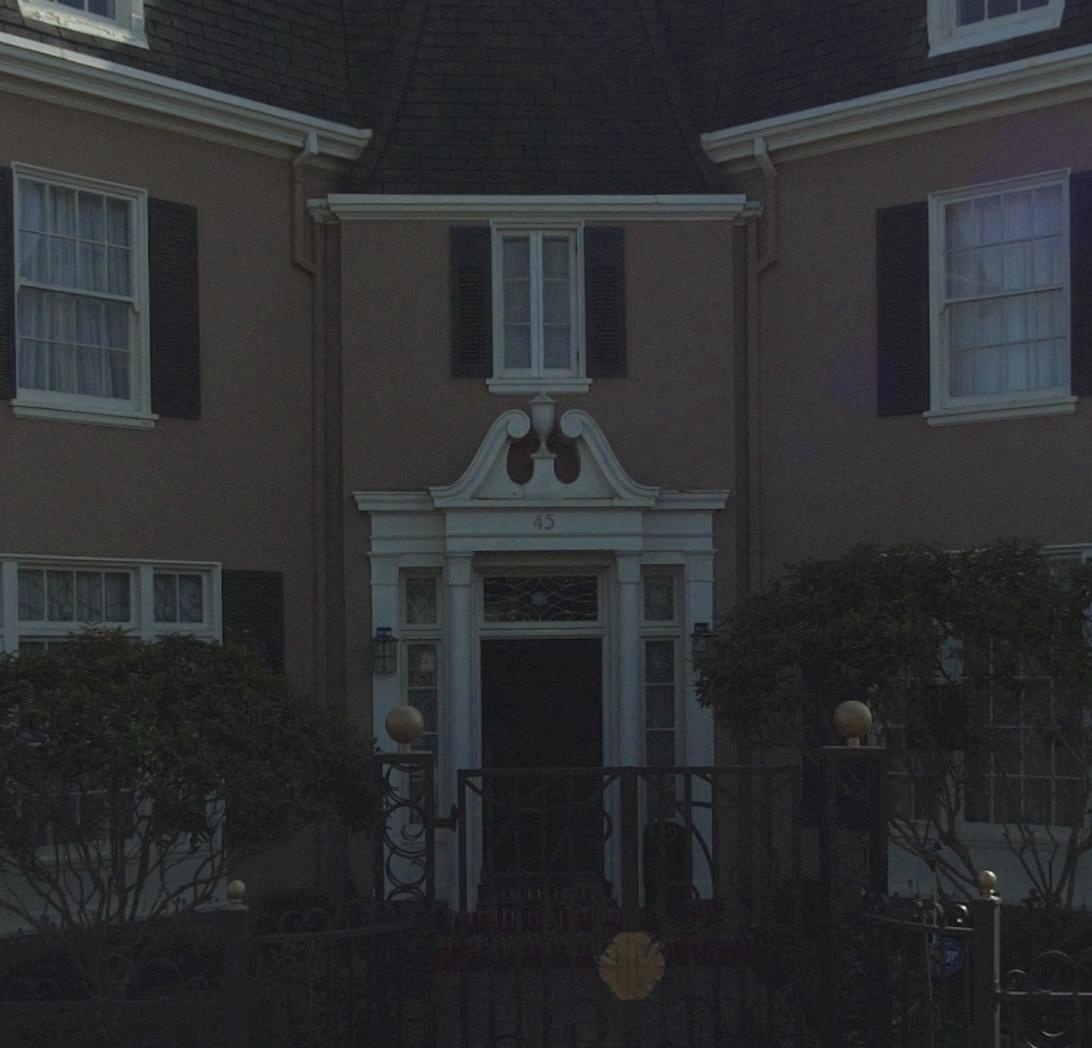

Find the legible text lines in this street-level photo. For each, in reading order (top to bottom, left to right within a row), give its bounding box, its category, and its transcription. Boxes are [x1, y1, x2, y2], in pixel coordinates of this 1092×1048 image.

[532, 511, 556, 532] StreetNumber: 45